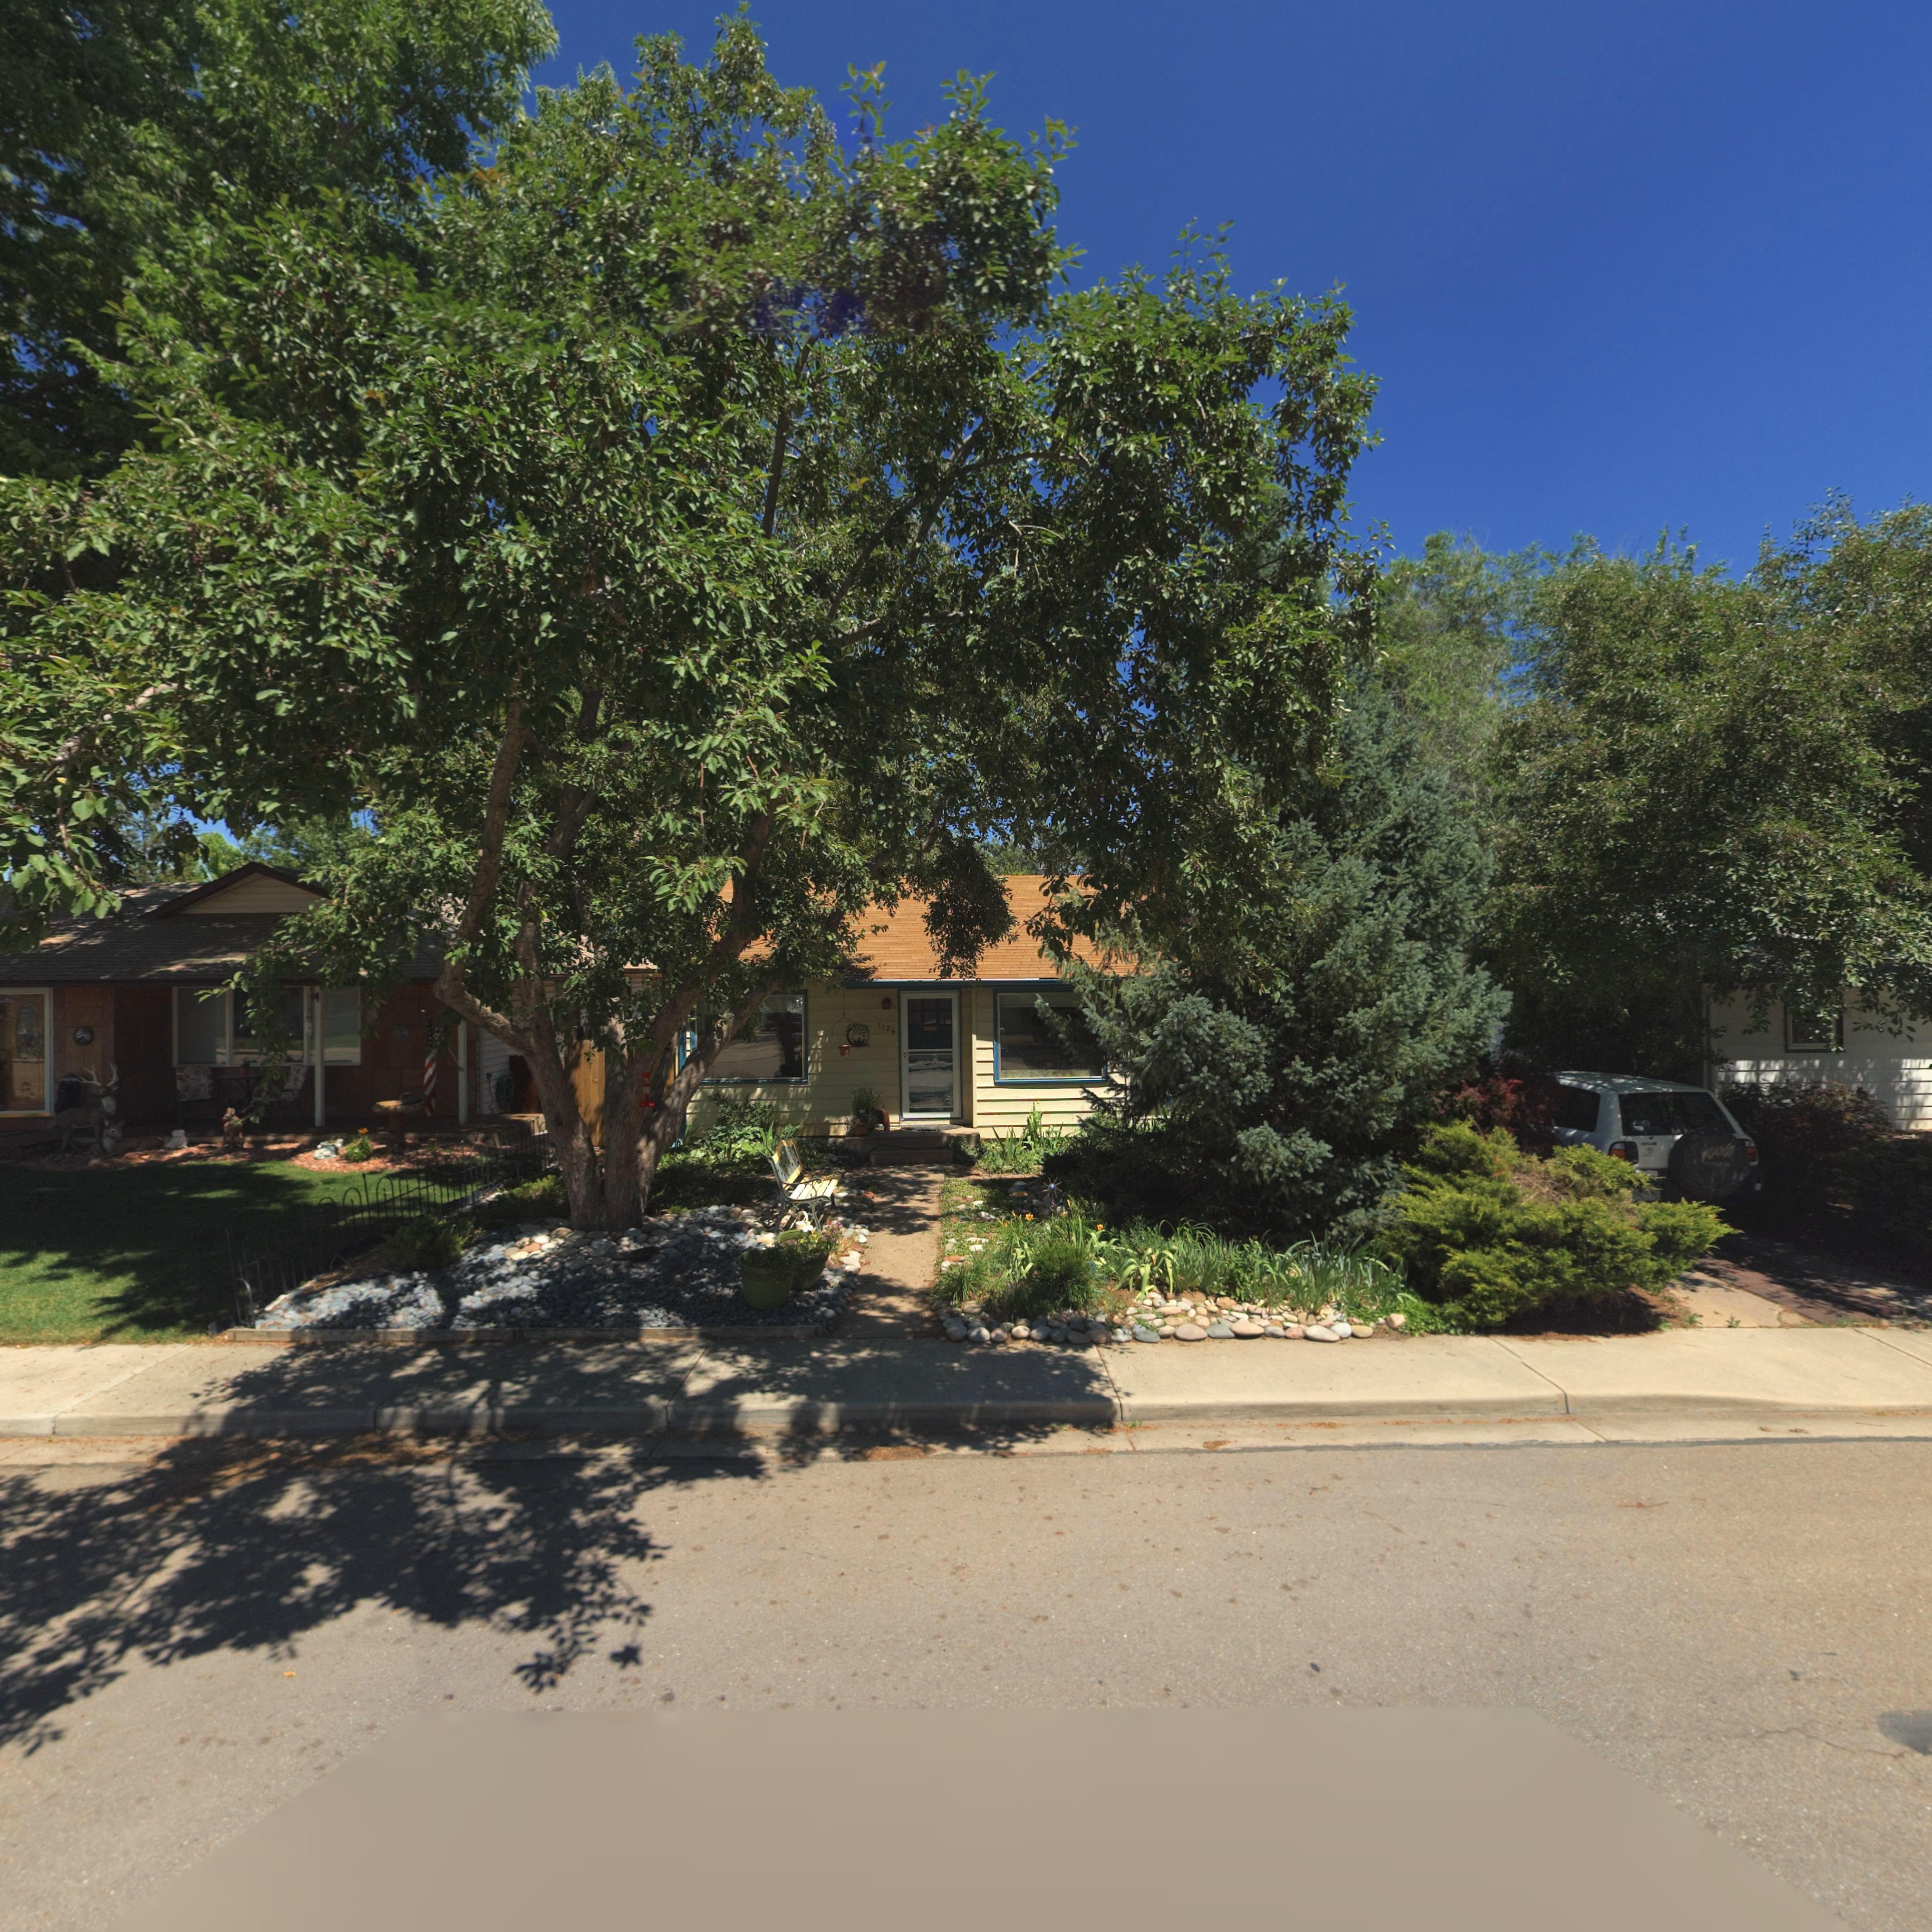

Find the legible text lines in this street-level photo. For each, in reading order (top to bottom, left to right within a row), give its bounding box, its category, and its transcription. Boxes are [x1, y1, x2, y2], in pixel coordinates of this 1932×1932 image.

[878, 1021, 895, 1034] StreetNumber: 1126